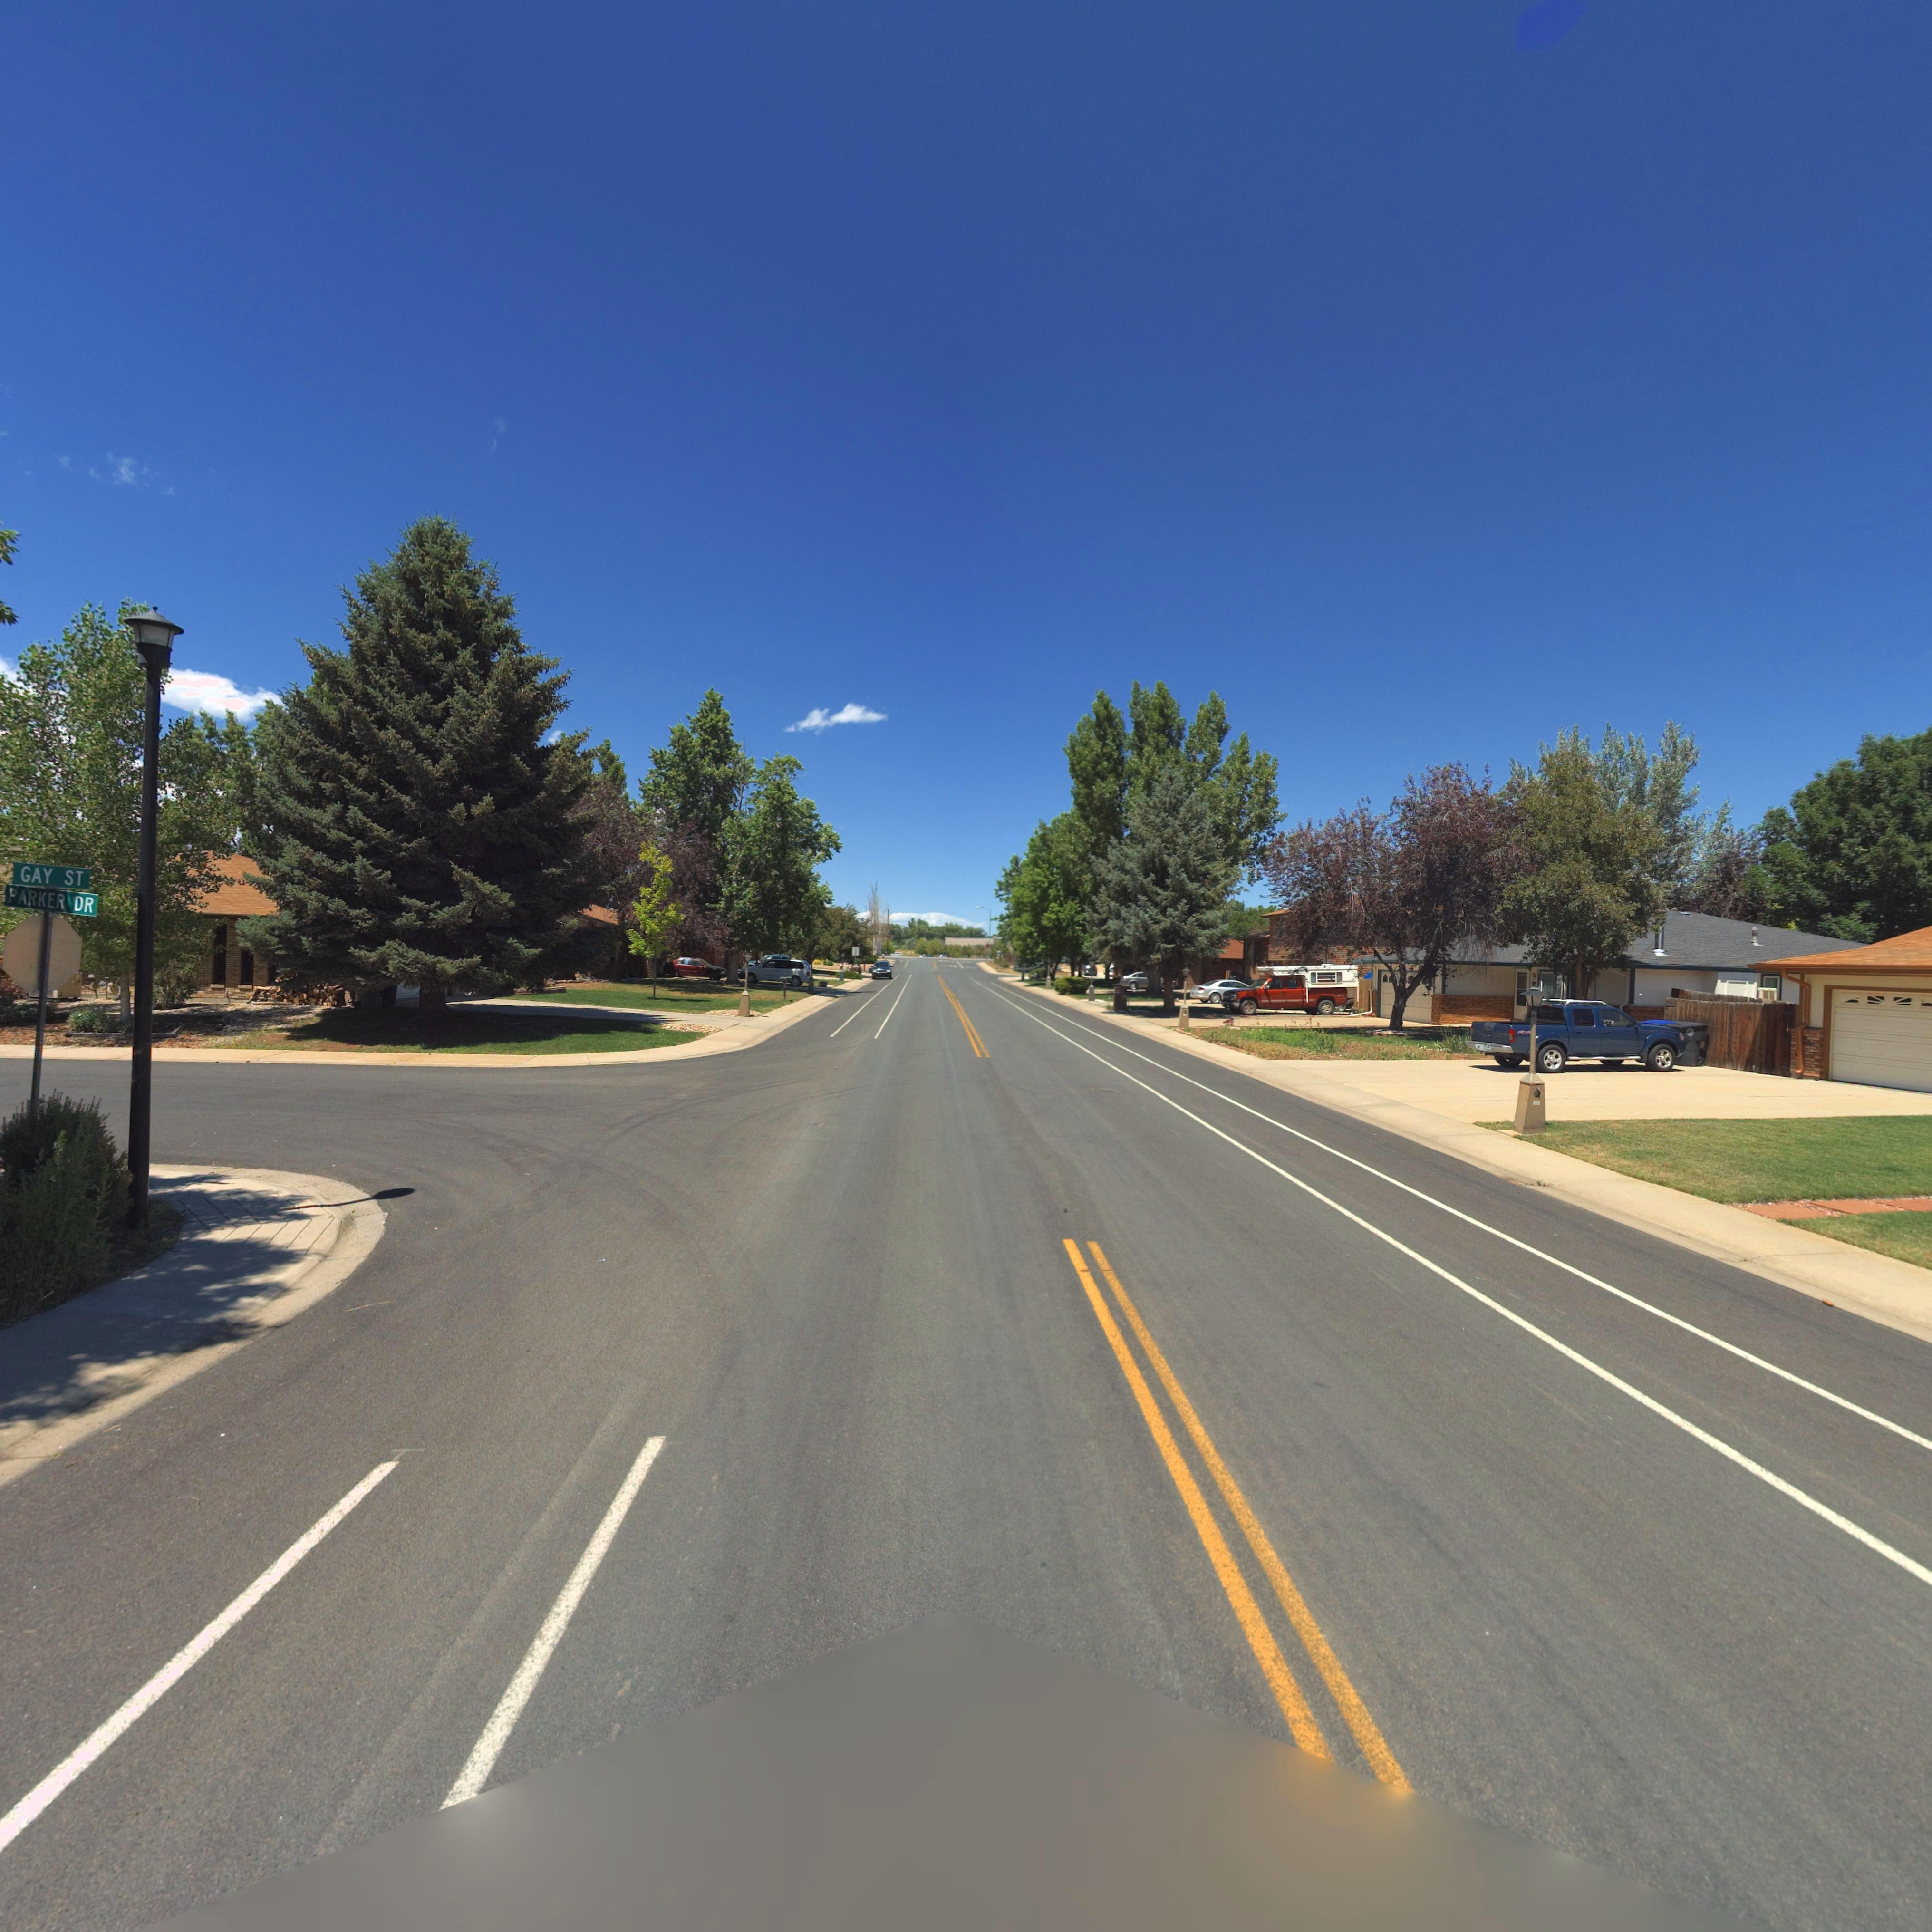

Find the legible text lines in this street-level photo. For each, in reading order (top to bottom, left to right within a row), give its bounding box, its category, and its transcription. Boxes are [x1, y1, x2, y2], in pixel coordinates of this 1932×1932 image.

[20, 865, 84, 886] StreetName: GAY ST
[7, 887, 94, 913] StreetName: PARKER DR